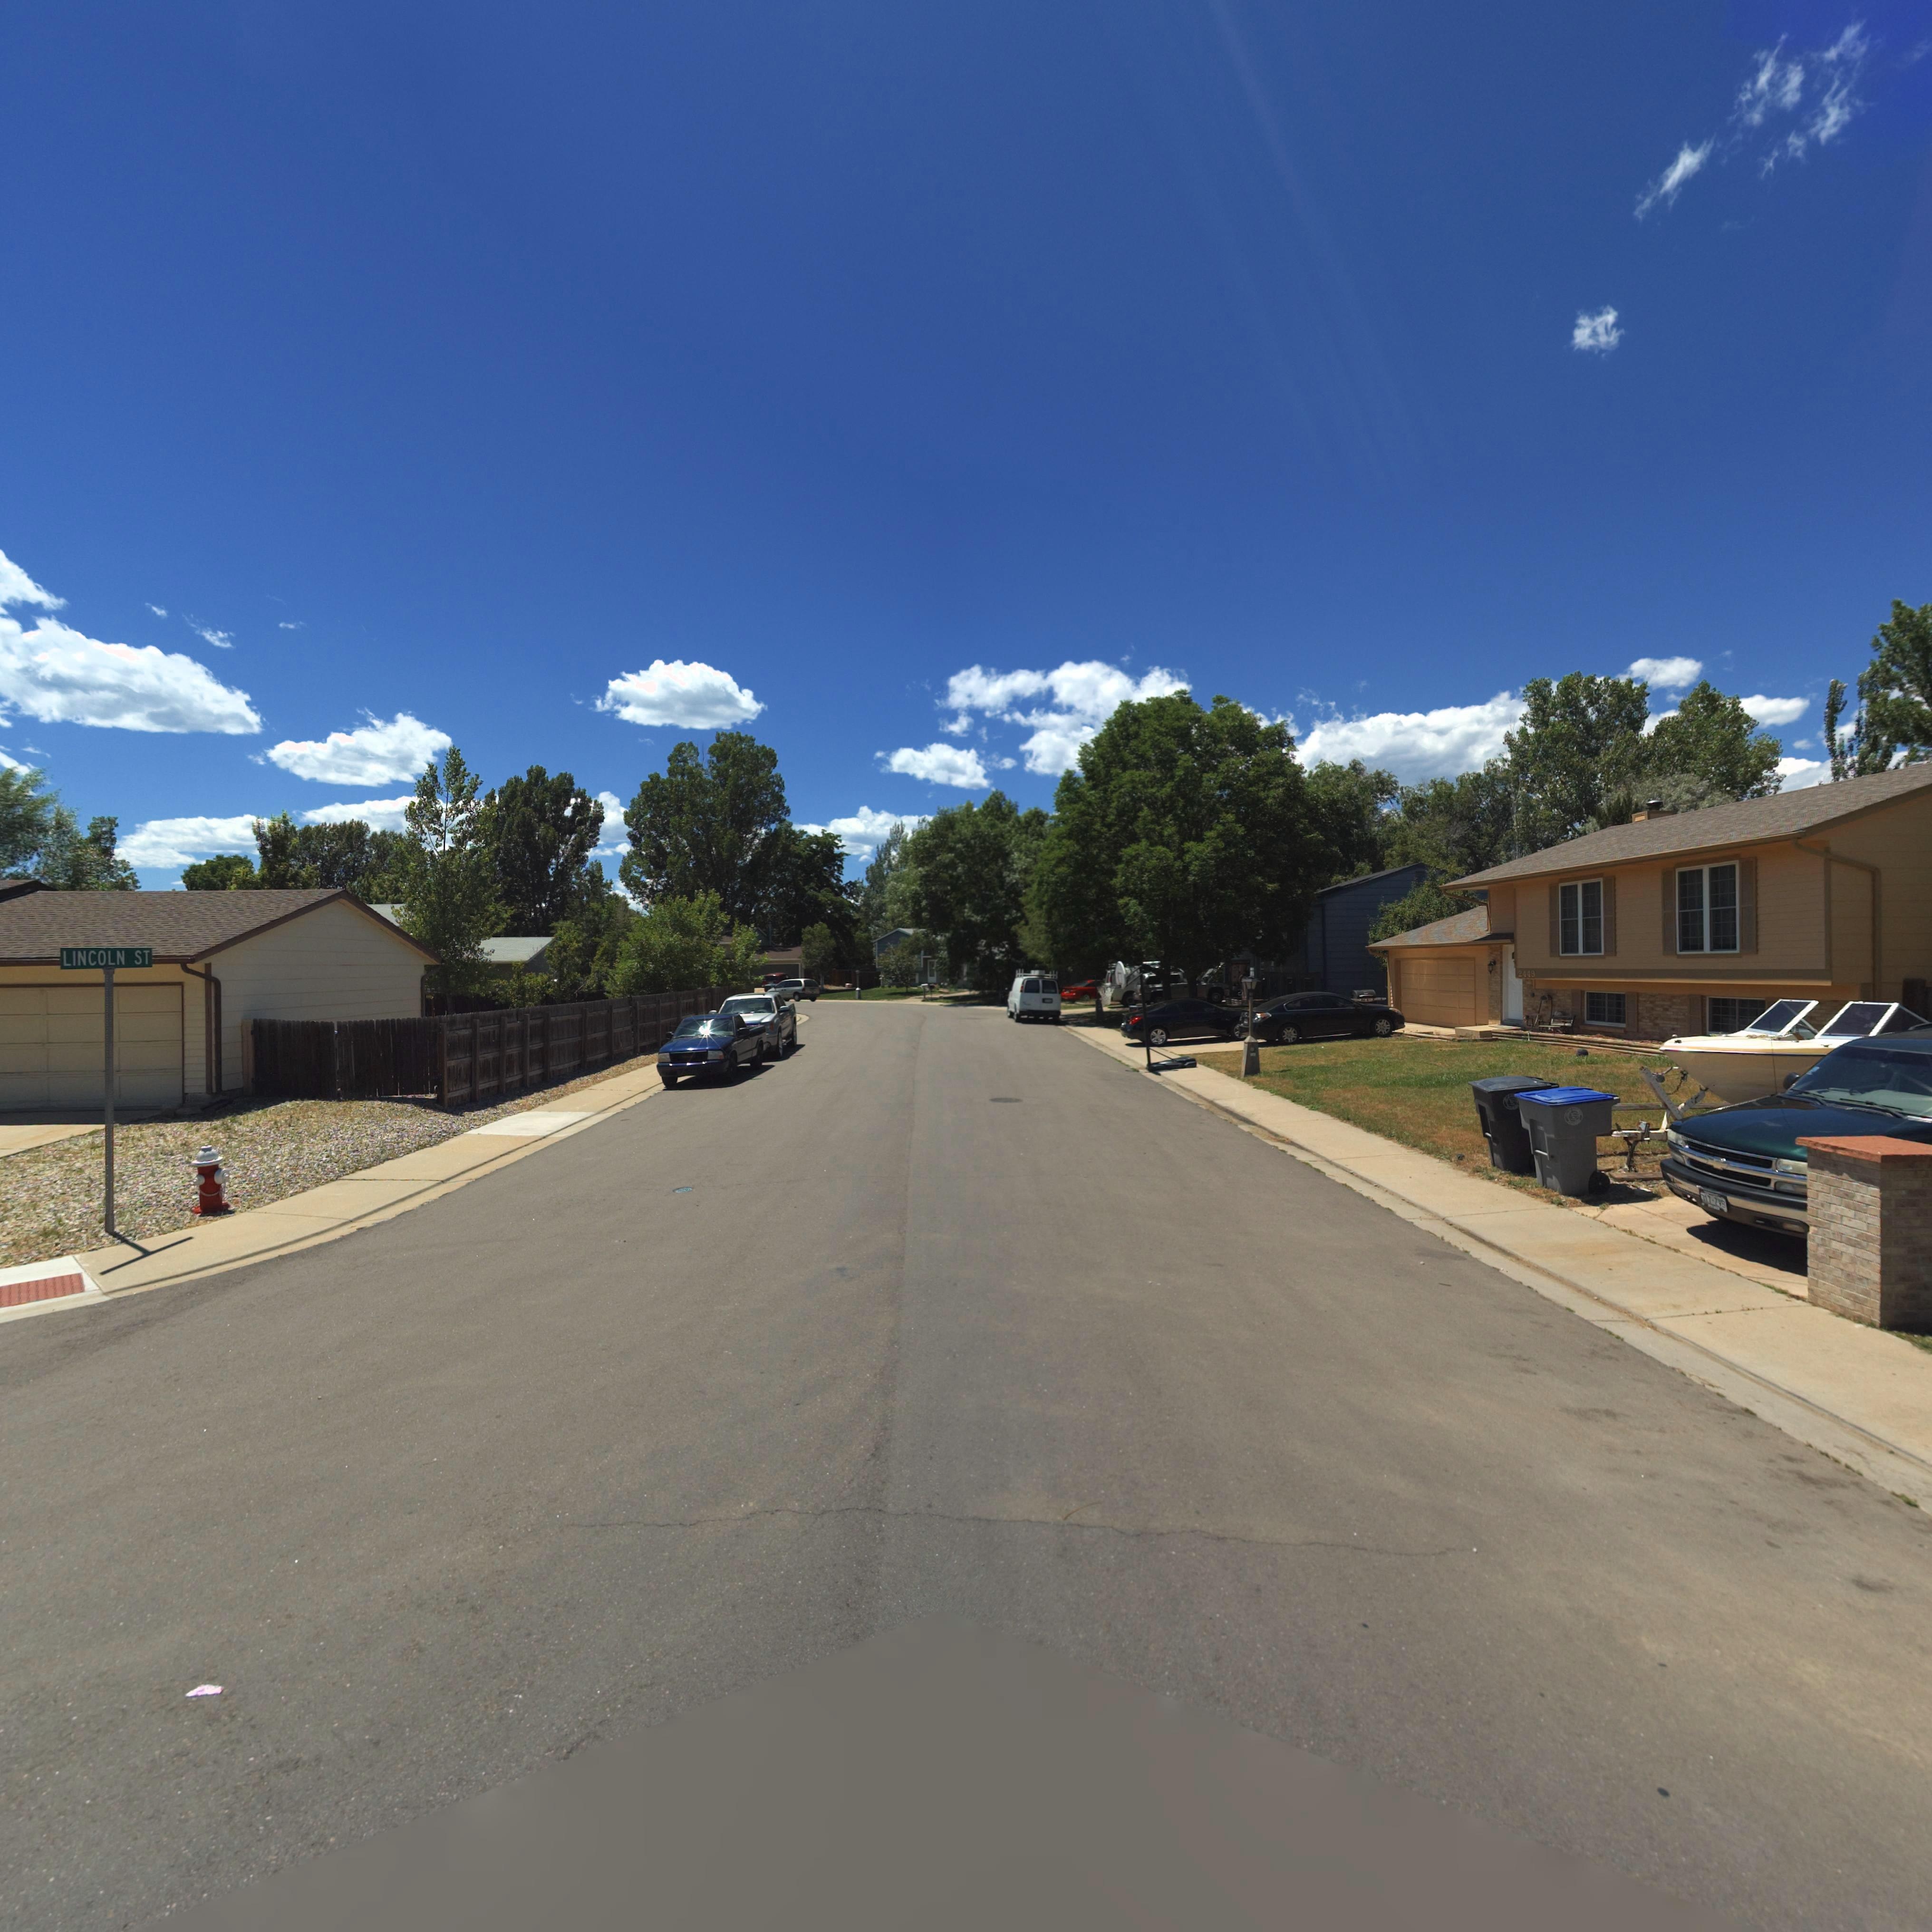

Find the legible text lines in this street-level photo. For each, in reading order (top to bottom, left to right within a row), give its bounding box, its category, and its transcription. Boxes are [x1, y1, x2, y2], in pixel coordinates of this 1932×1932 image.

[63, 949, 151, 965] StreetName: LINCOLN ST
[1517, 970, 1535, 977] StreetNumber: 2449